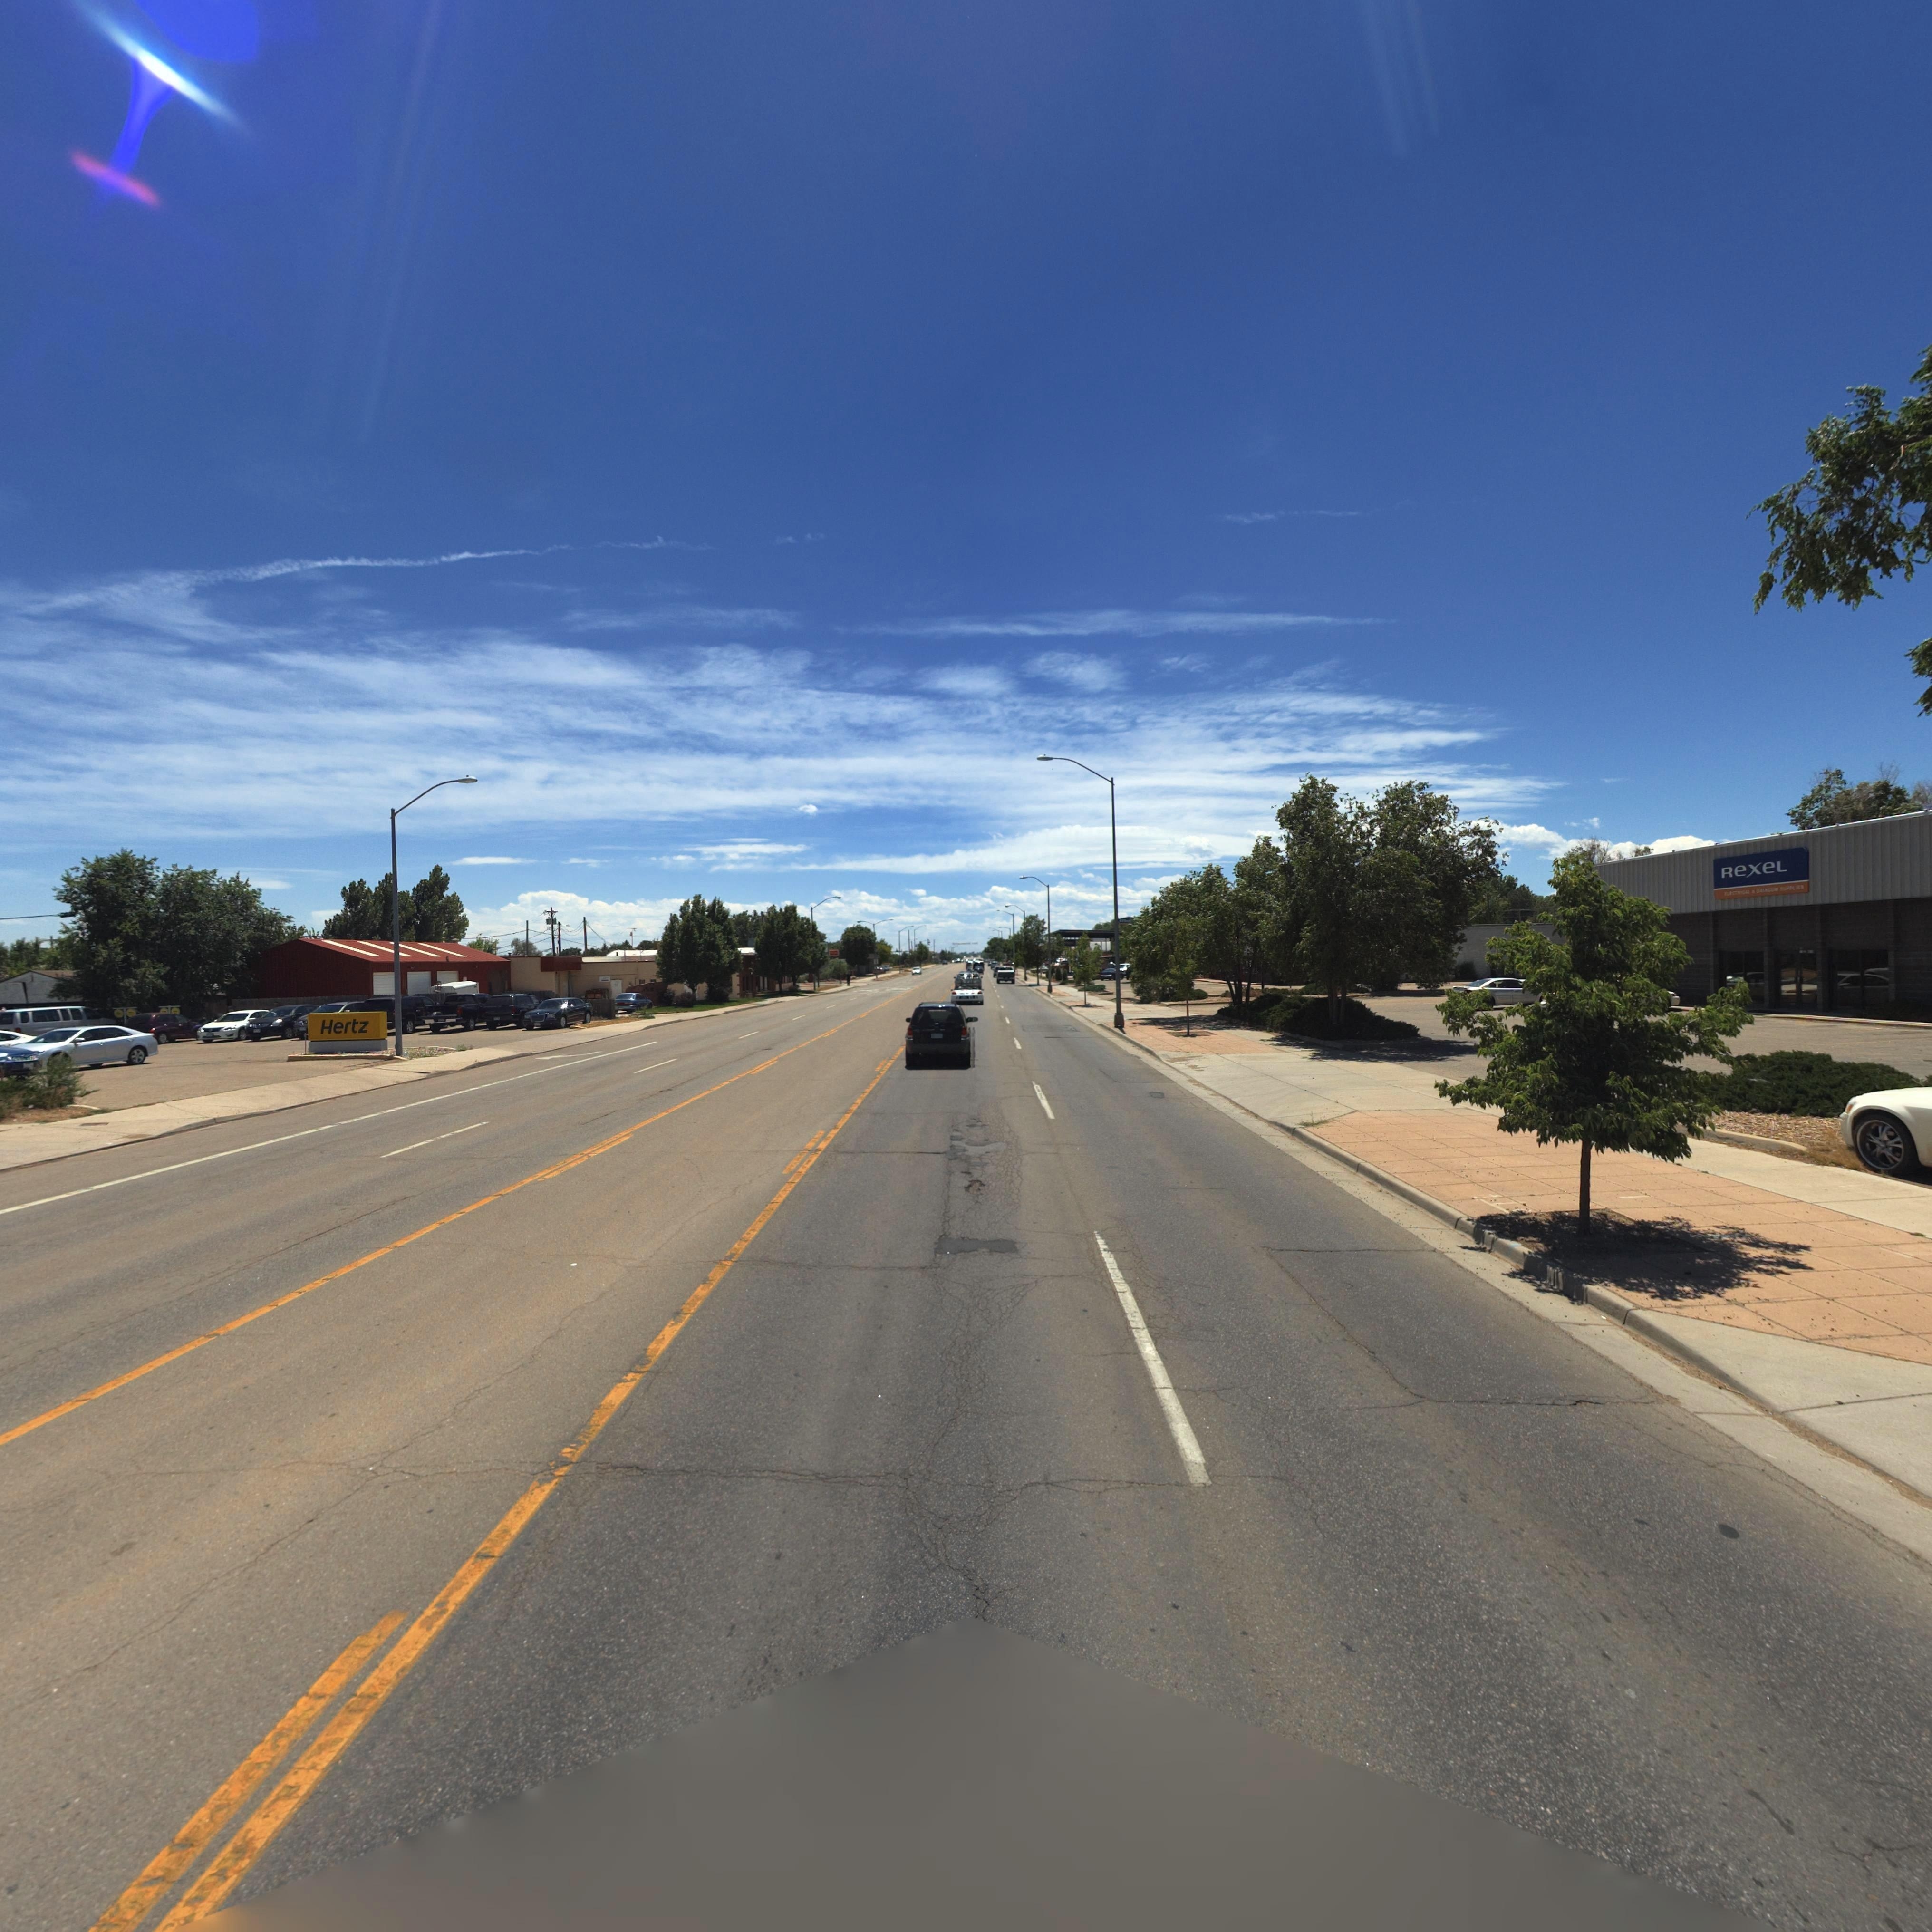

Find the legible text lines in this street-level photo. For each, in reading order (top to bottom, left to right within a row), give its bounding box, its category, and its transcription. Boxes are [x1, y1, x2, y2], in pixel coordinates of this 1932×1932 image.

[1721, 861, 1787, 879] BusinessName: Rexel
[318, 1017, 370, 1035] BusinessName: Hertz